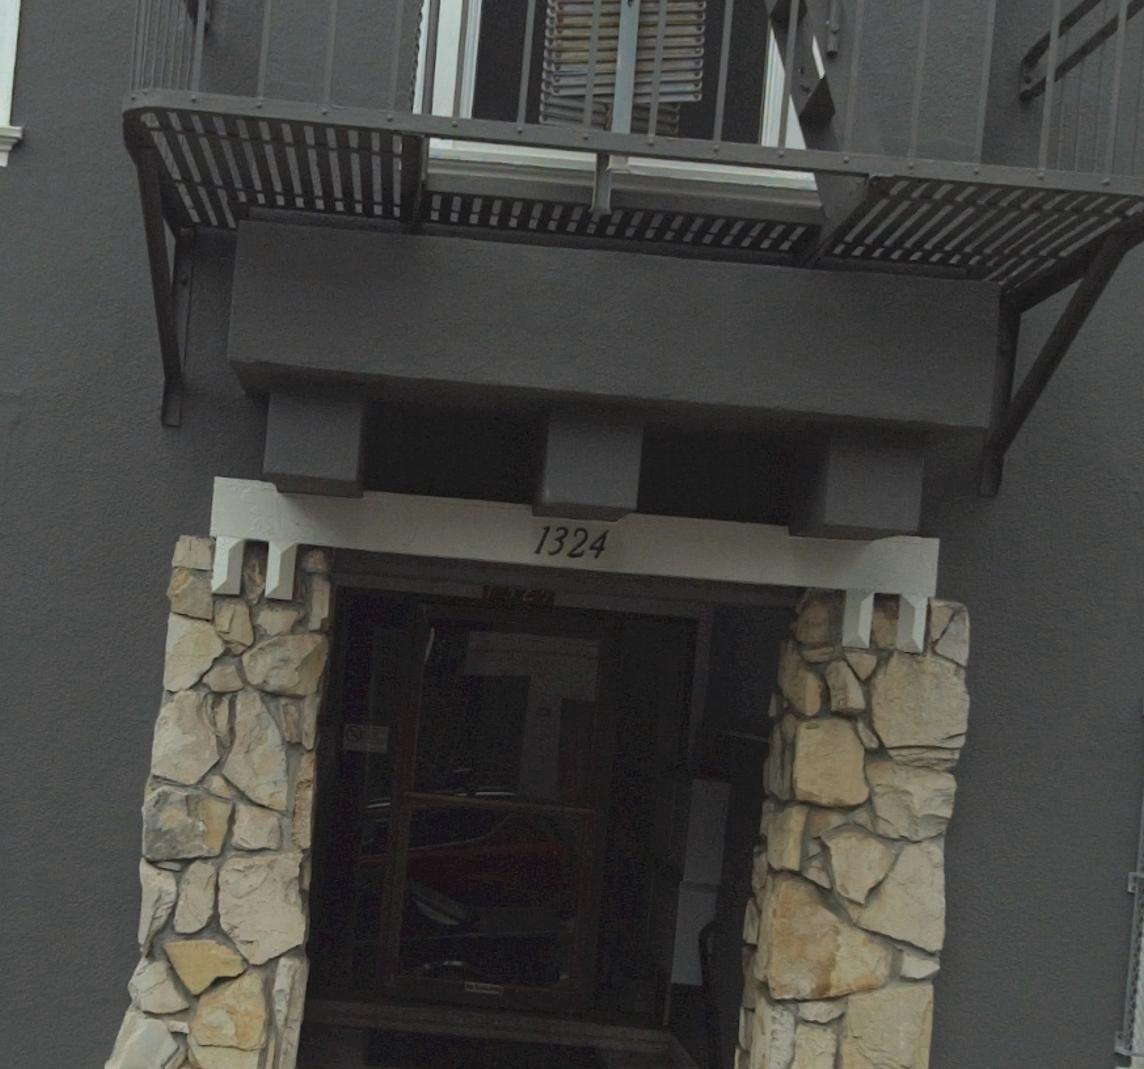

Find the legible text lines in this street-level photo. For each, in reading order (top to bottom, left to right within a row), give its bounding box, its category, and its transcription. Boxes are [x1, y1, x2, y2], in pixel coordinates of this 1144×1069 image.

[529, 521, 617, 563] StreetNumber: 1324